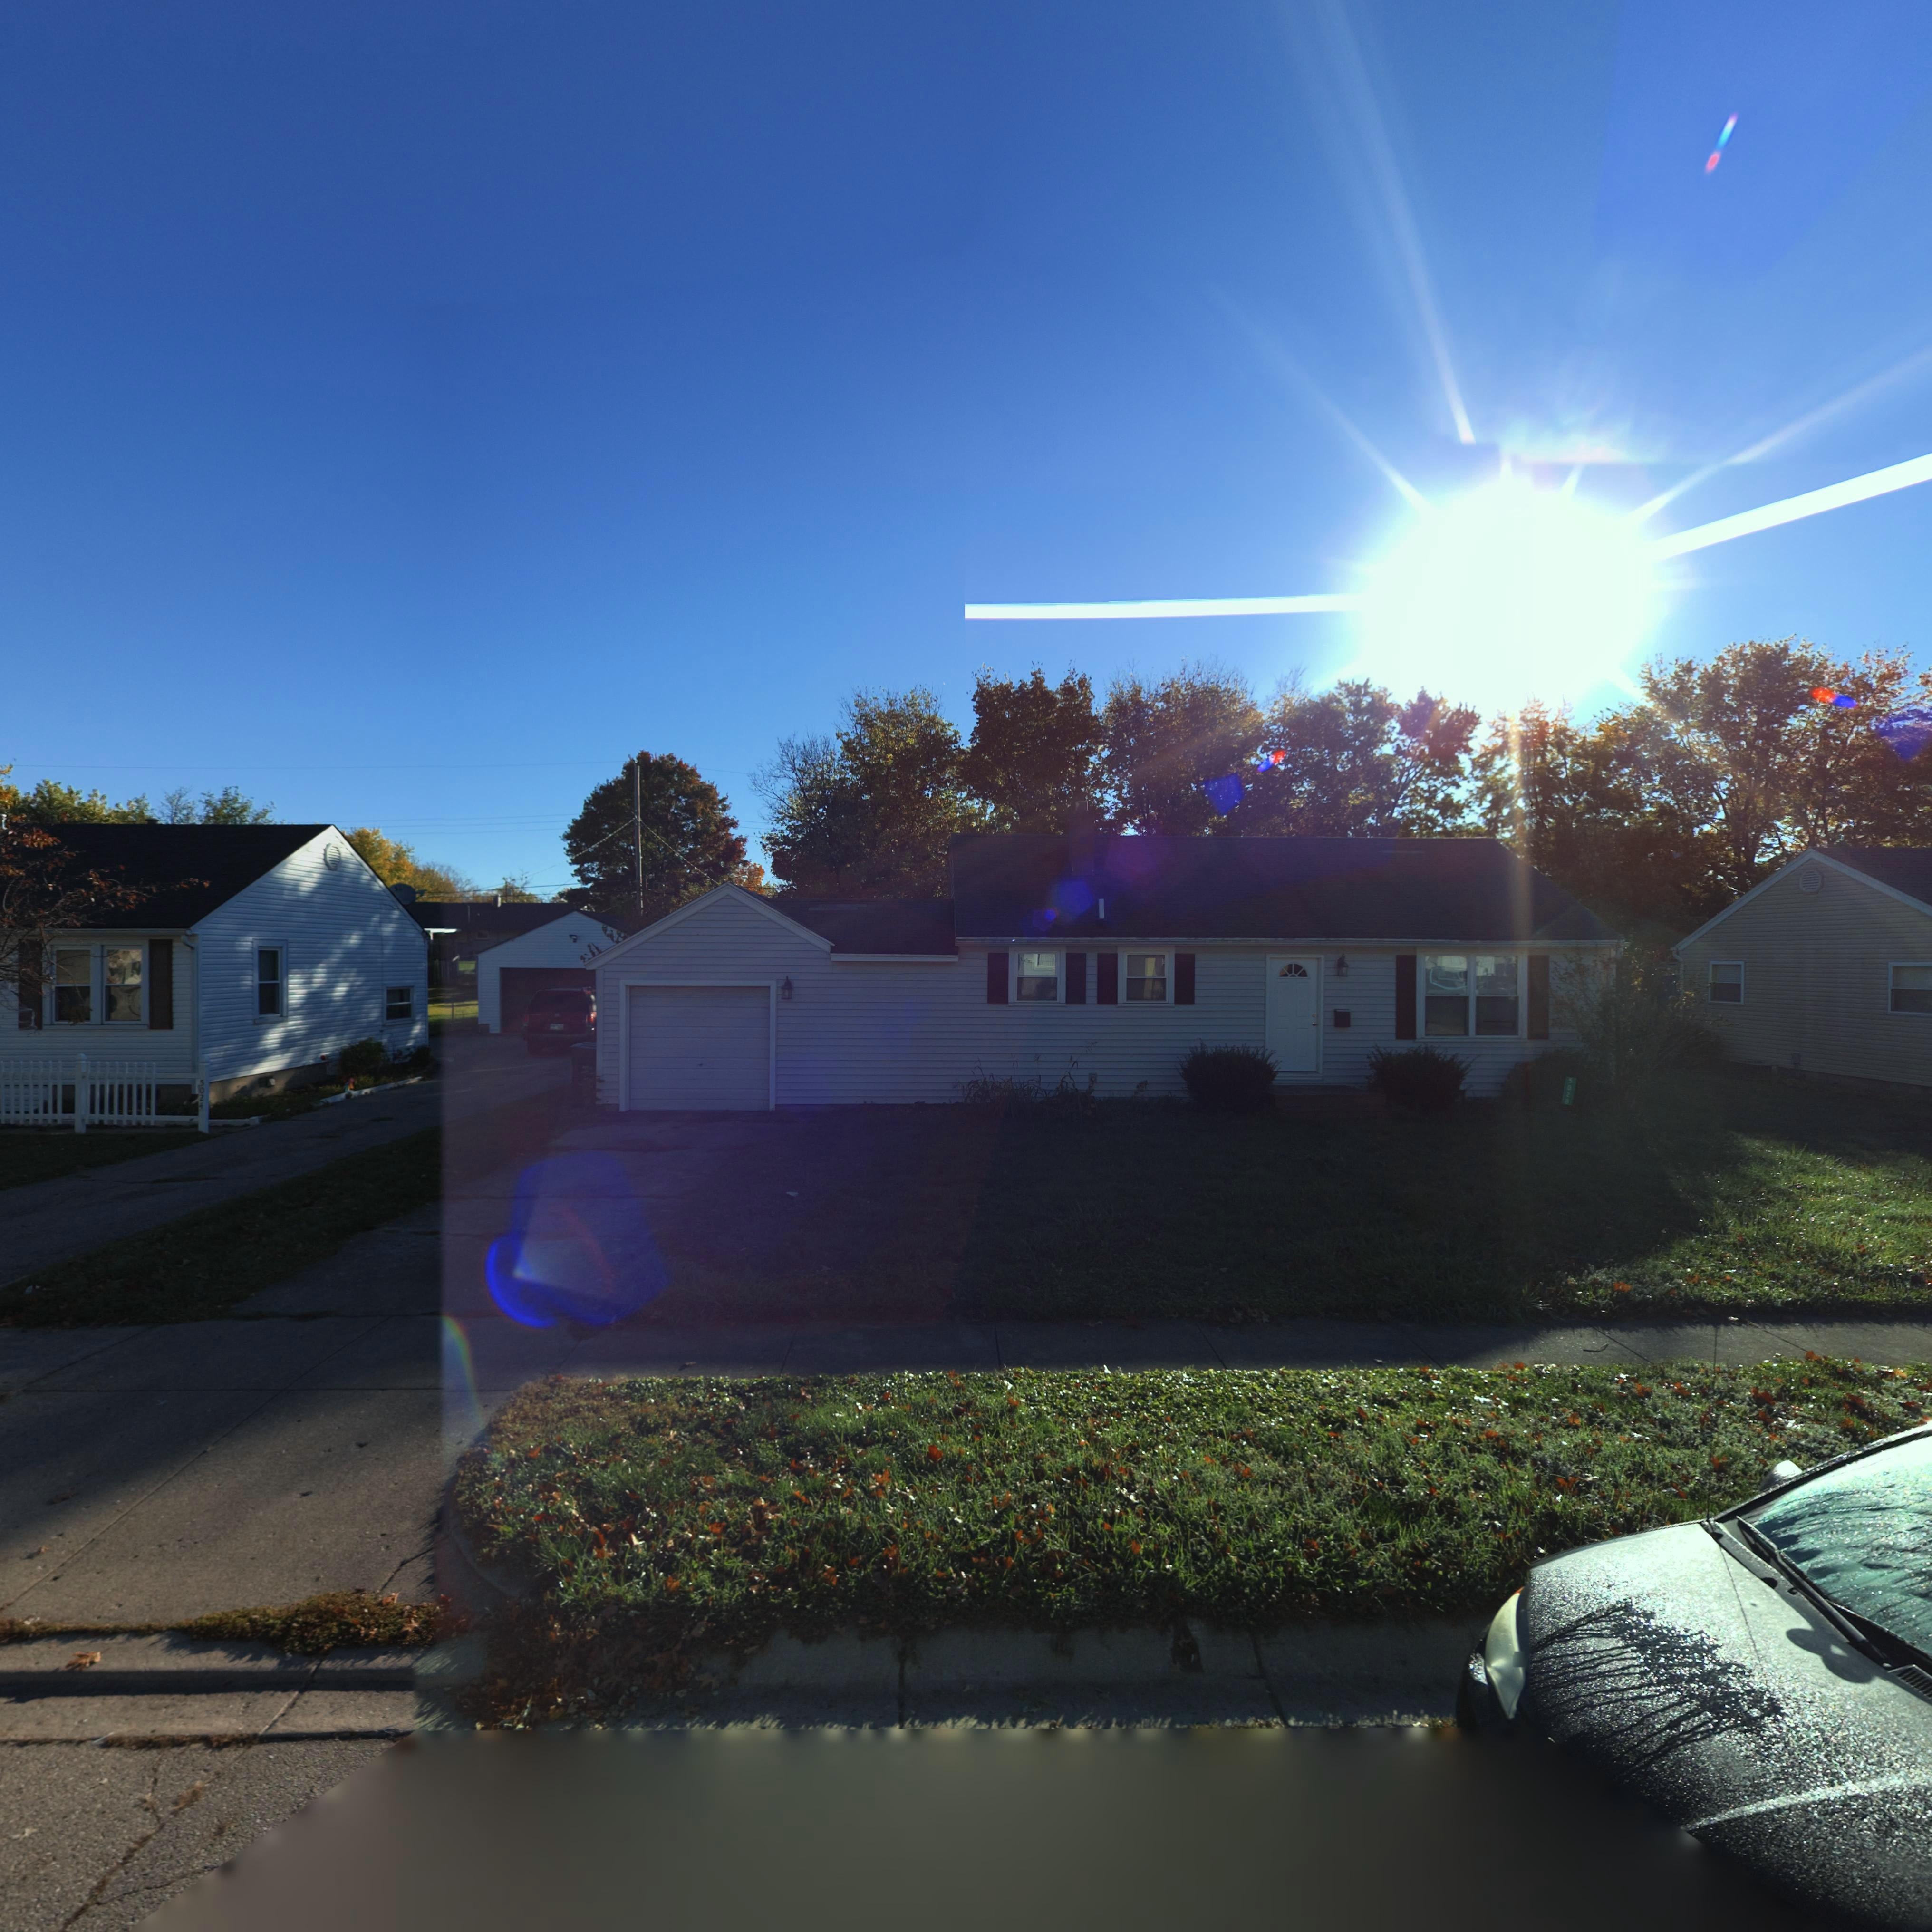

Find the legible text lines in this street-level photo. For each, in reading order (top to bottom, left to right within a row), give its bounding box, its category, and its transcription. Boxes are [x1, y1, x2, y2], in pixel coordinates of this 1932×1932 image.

[1563, 1077, 1574, 1106] StreetNumber: 5028